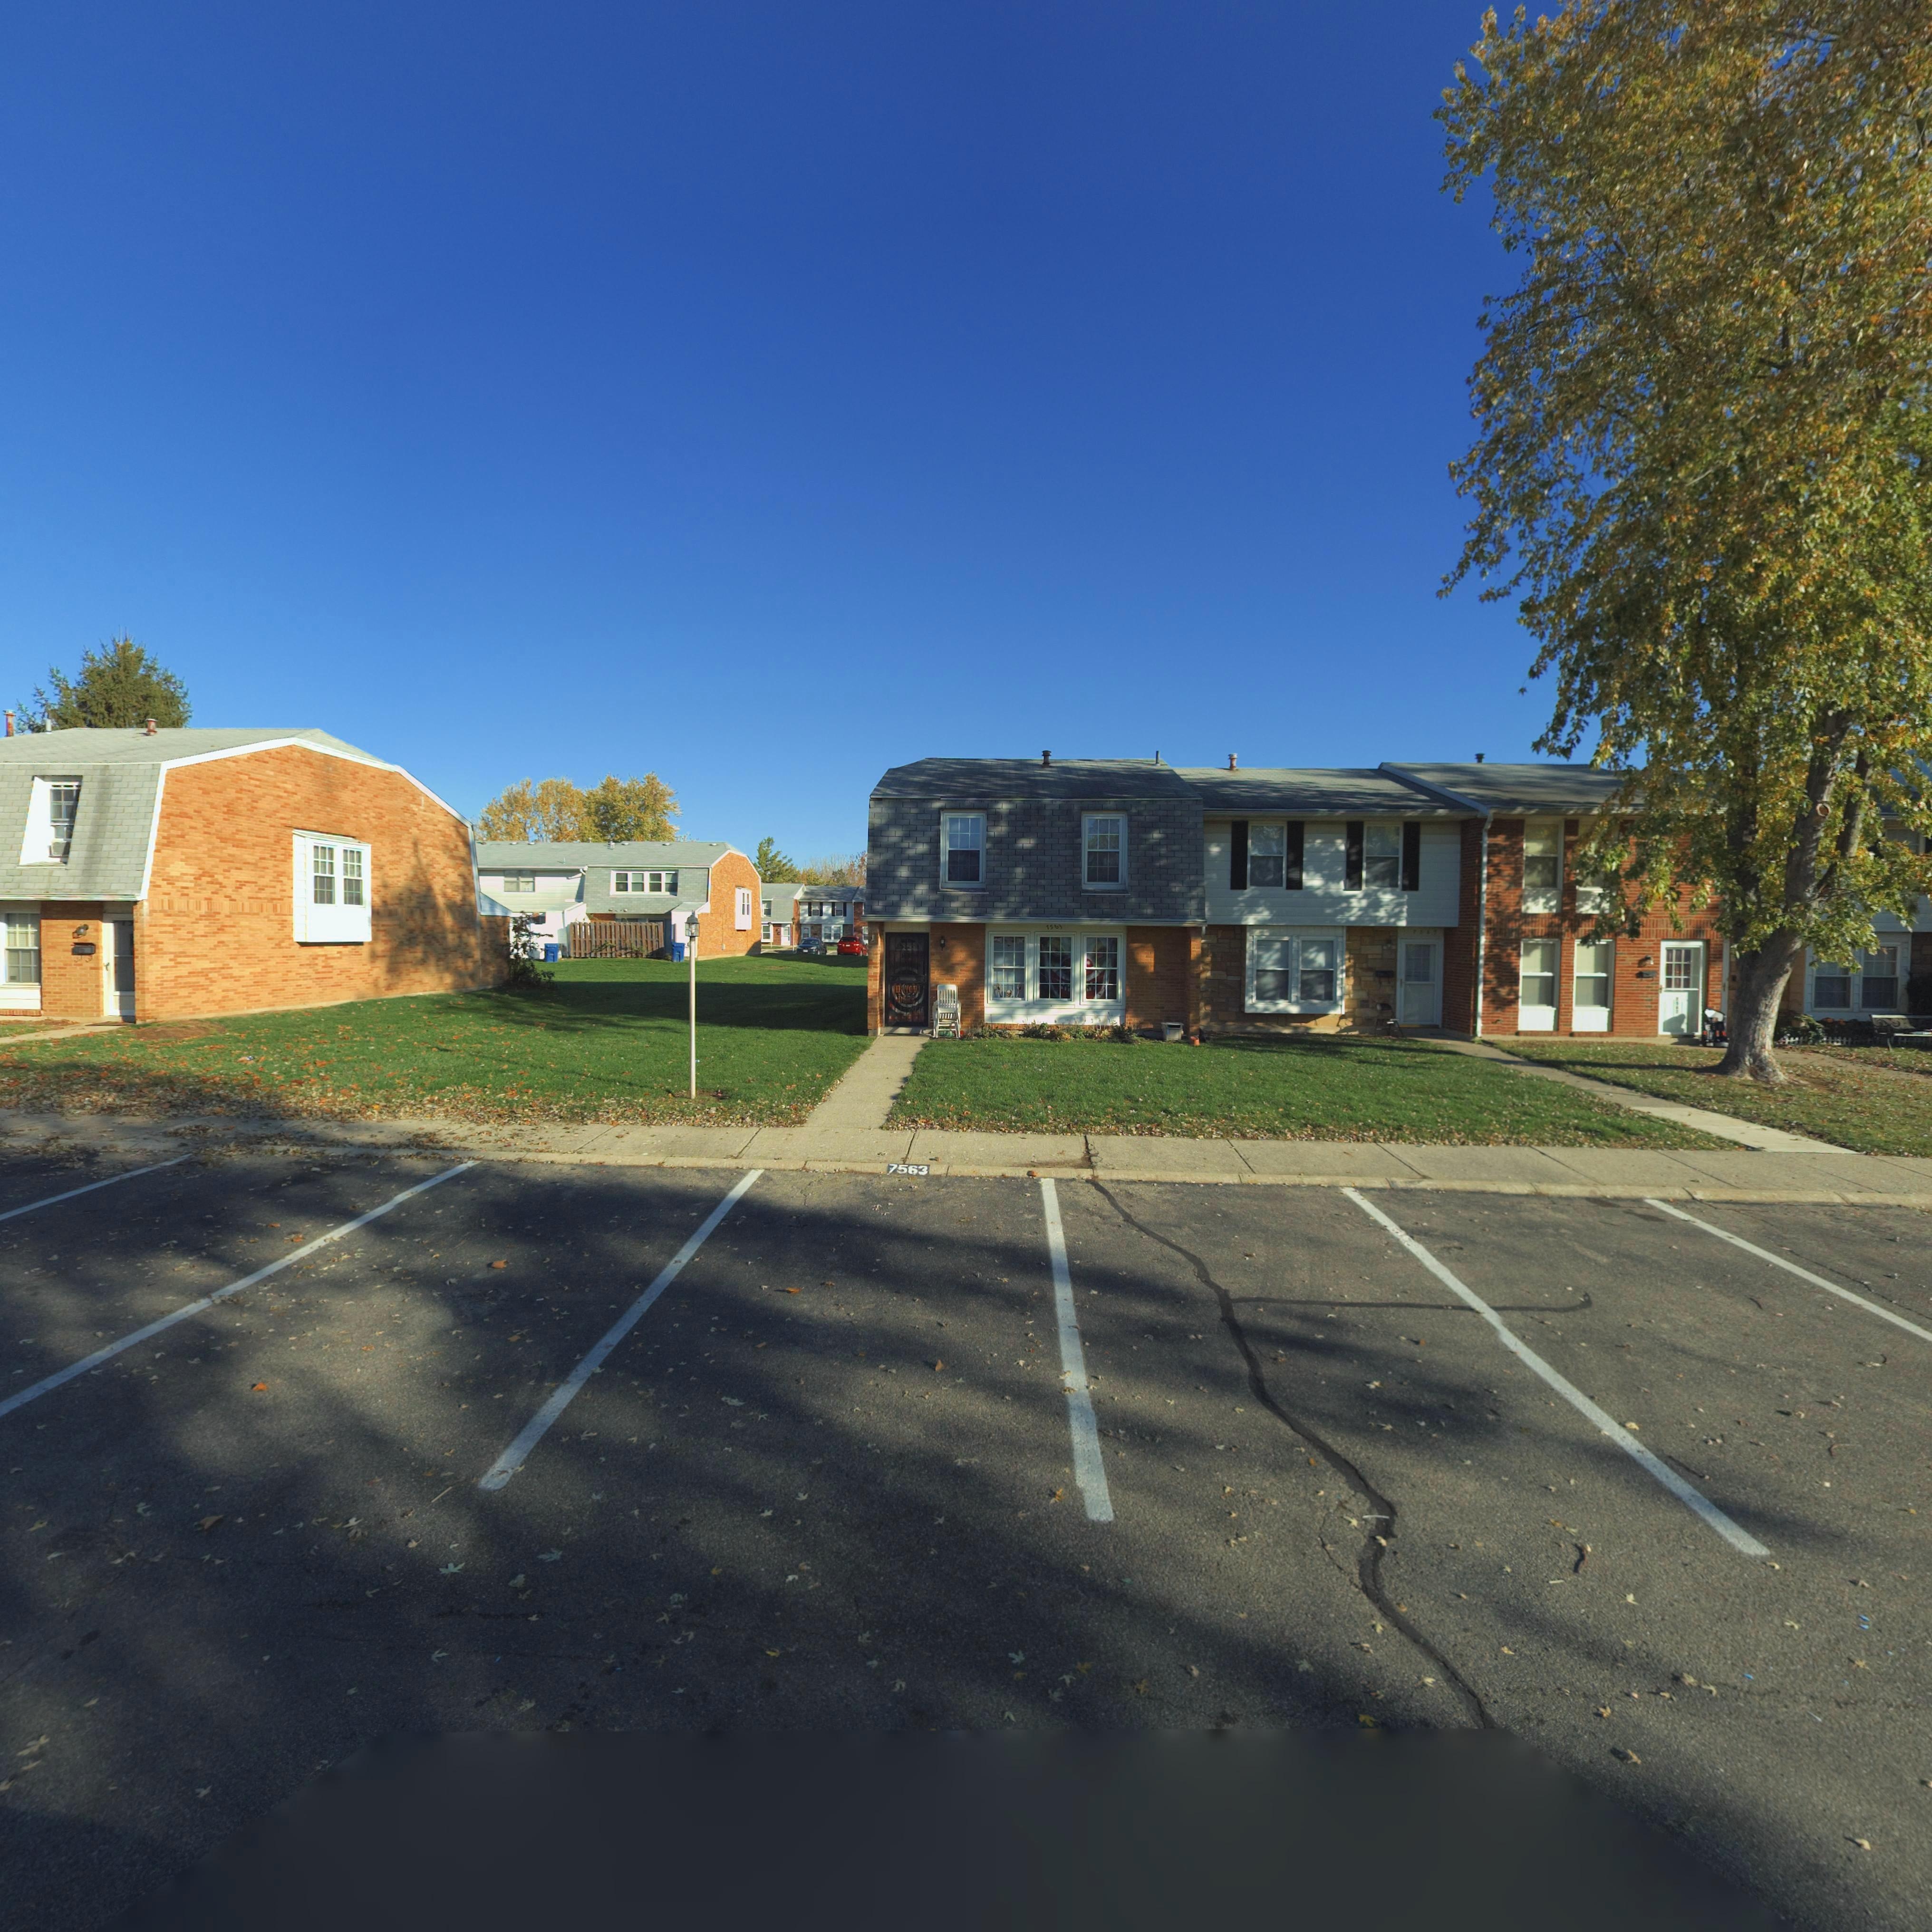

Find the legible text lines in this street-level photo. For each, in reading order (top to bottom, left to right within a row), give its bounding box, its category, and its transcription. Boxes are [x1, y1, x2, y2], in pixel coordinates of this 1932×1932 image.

[1045, 924, 1063, 930] StreetNumber: 7563
[1412, 928, 1438, 936] StreetNumber: 7565
[1675, 996, 1679, 1014] StreetNumber: 7*67
[888, 1163, 928, 1176] StreetNumber: 7563